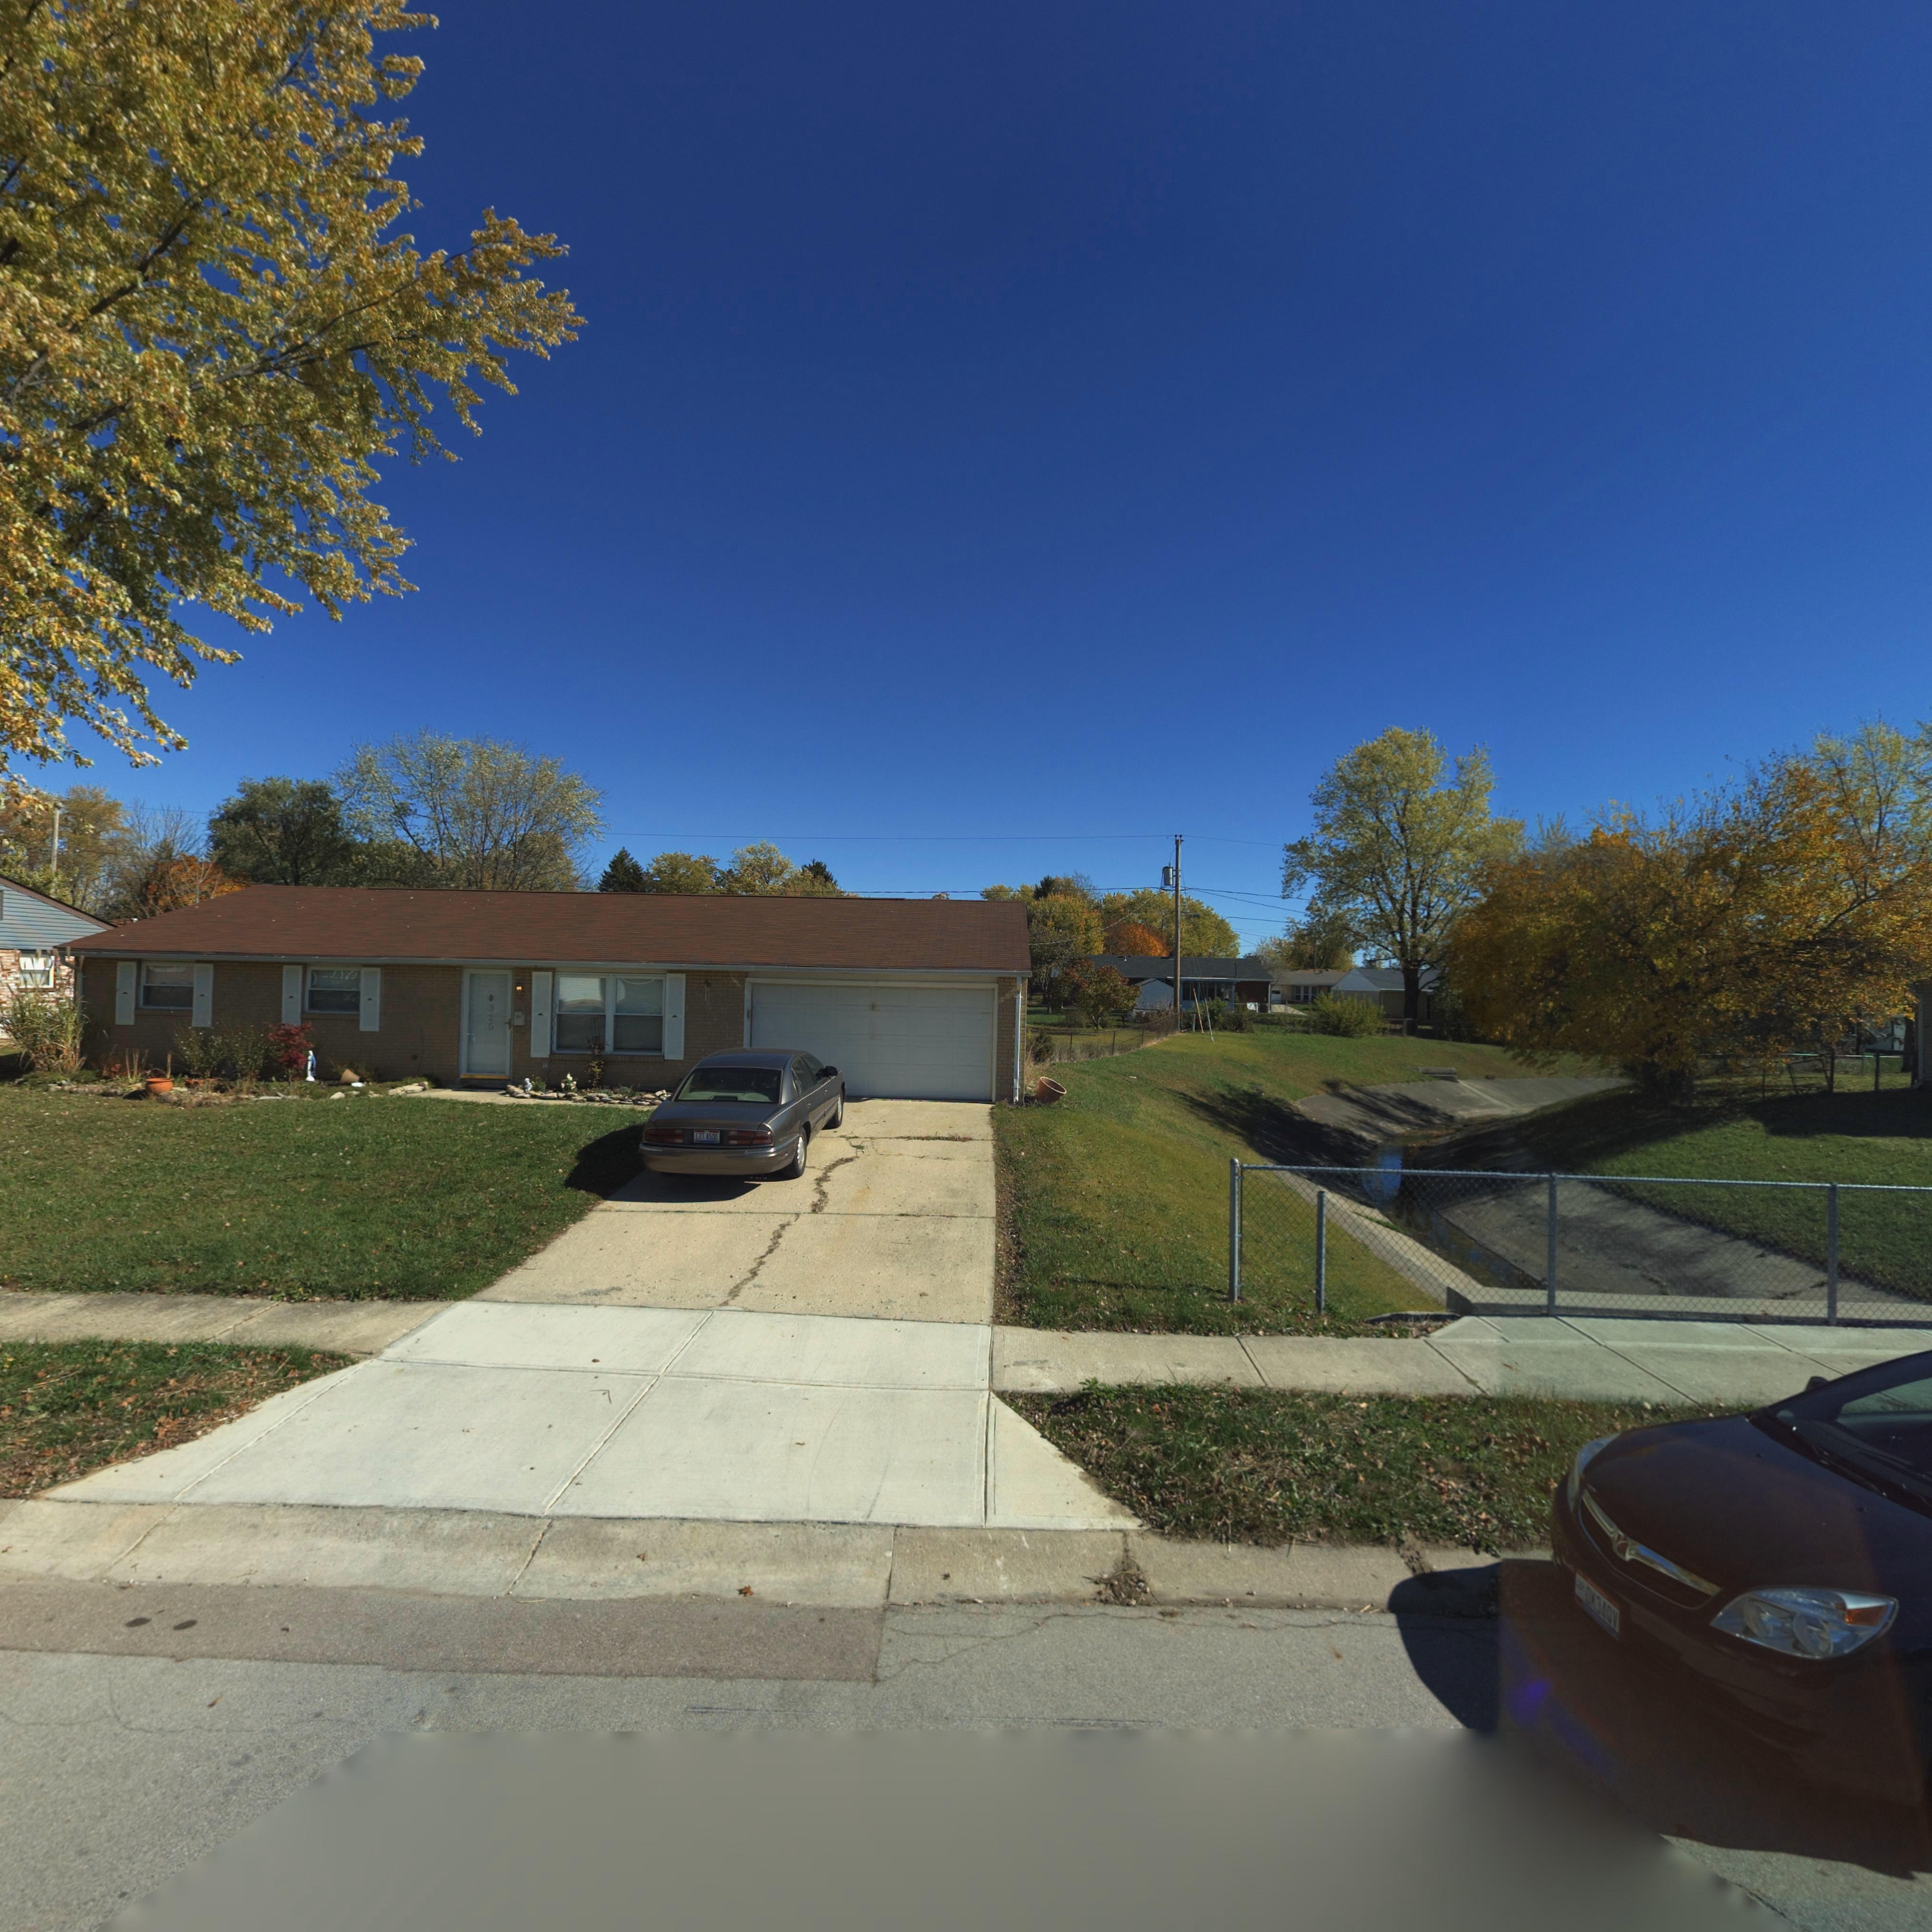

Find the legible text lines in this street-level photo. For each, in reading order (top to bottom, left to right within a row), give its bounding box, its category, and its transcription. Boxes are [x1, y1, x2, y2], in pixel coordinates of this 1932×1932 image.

[488, 1003, 495, 1032] StreetNumber: 325